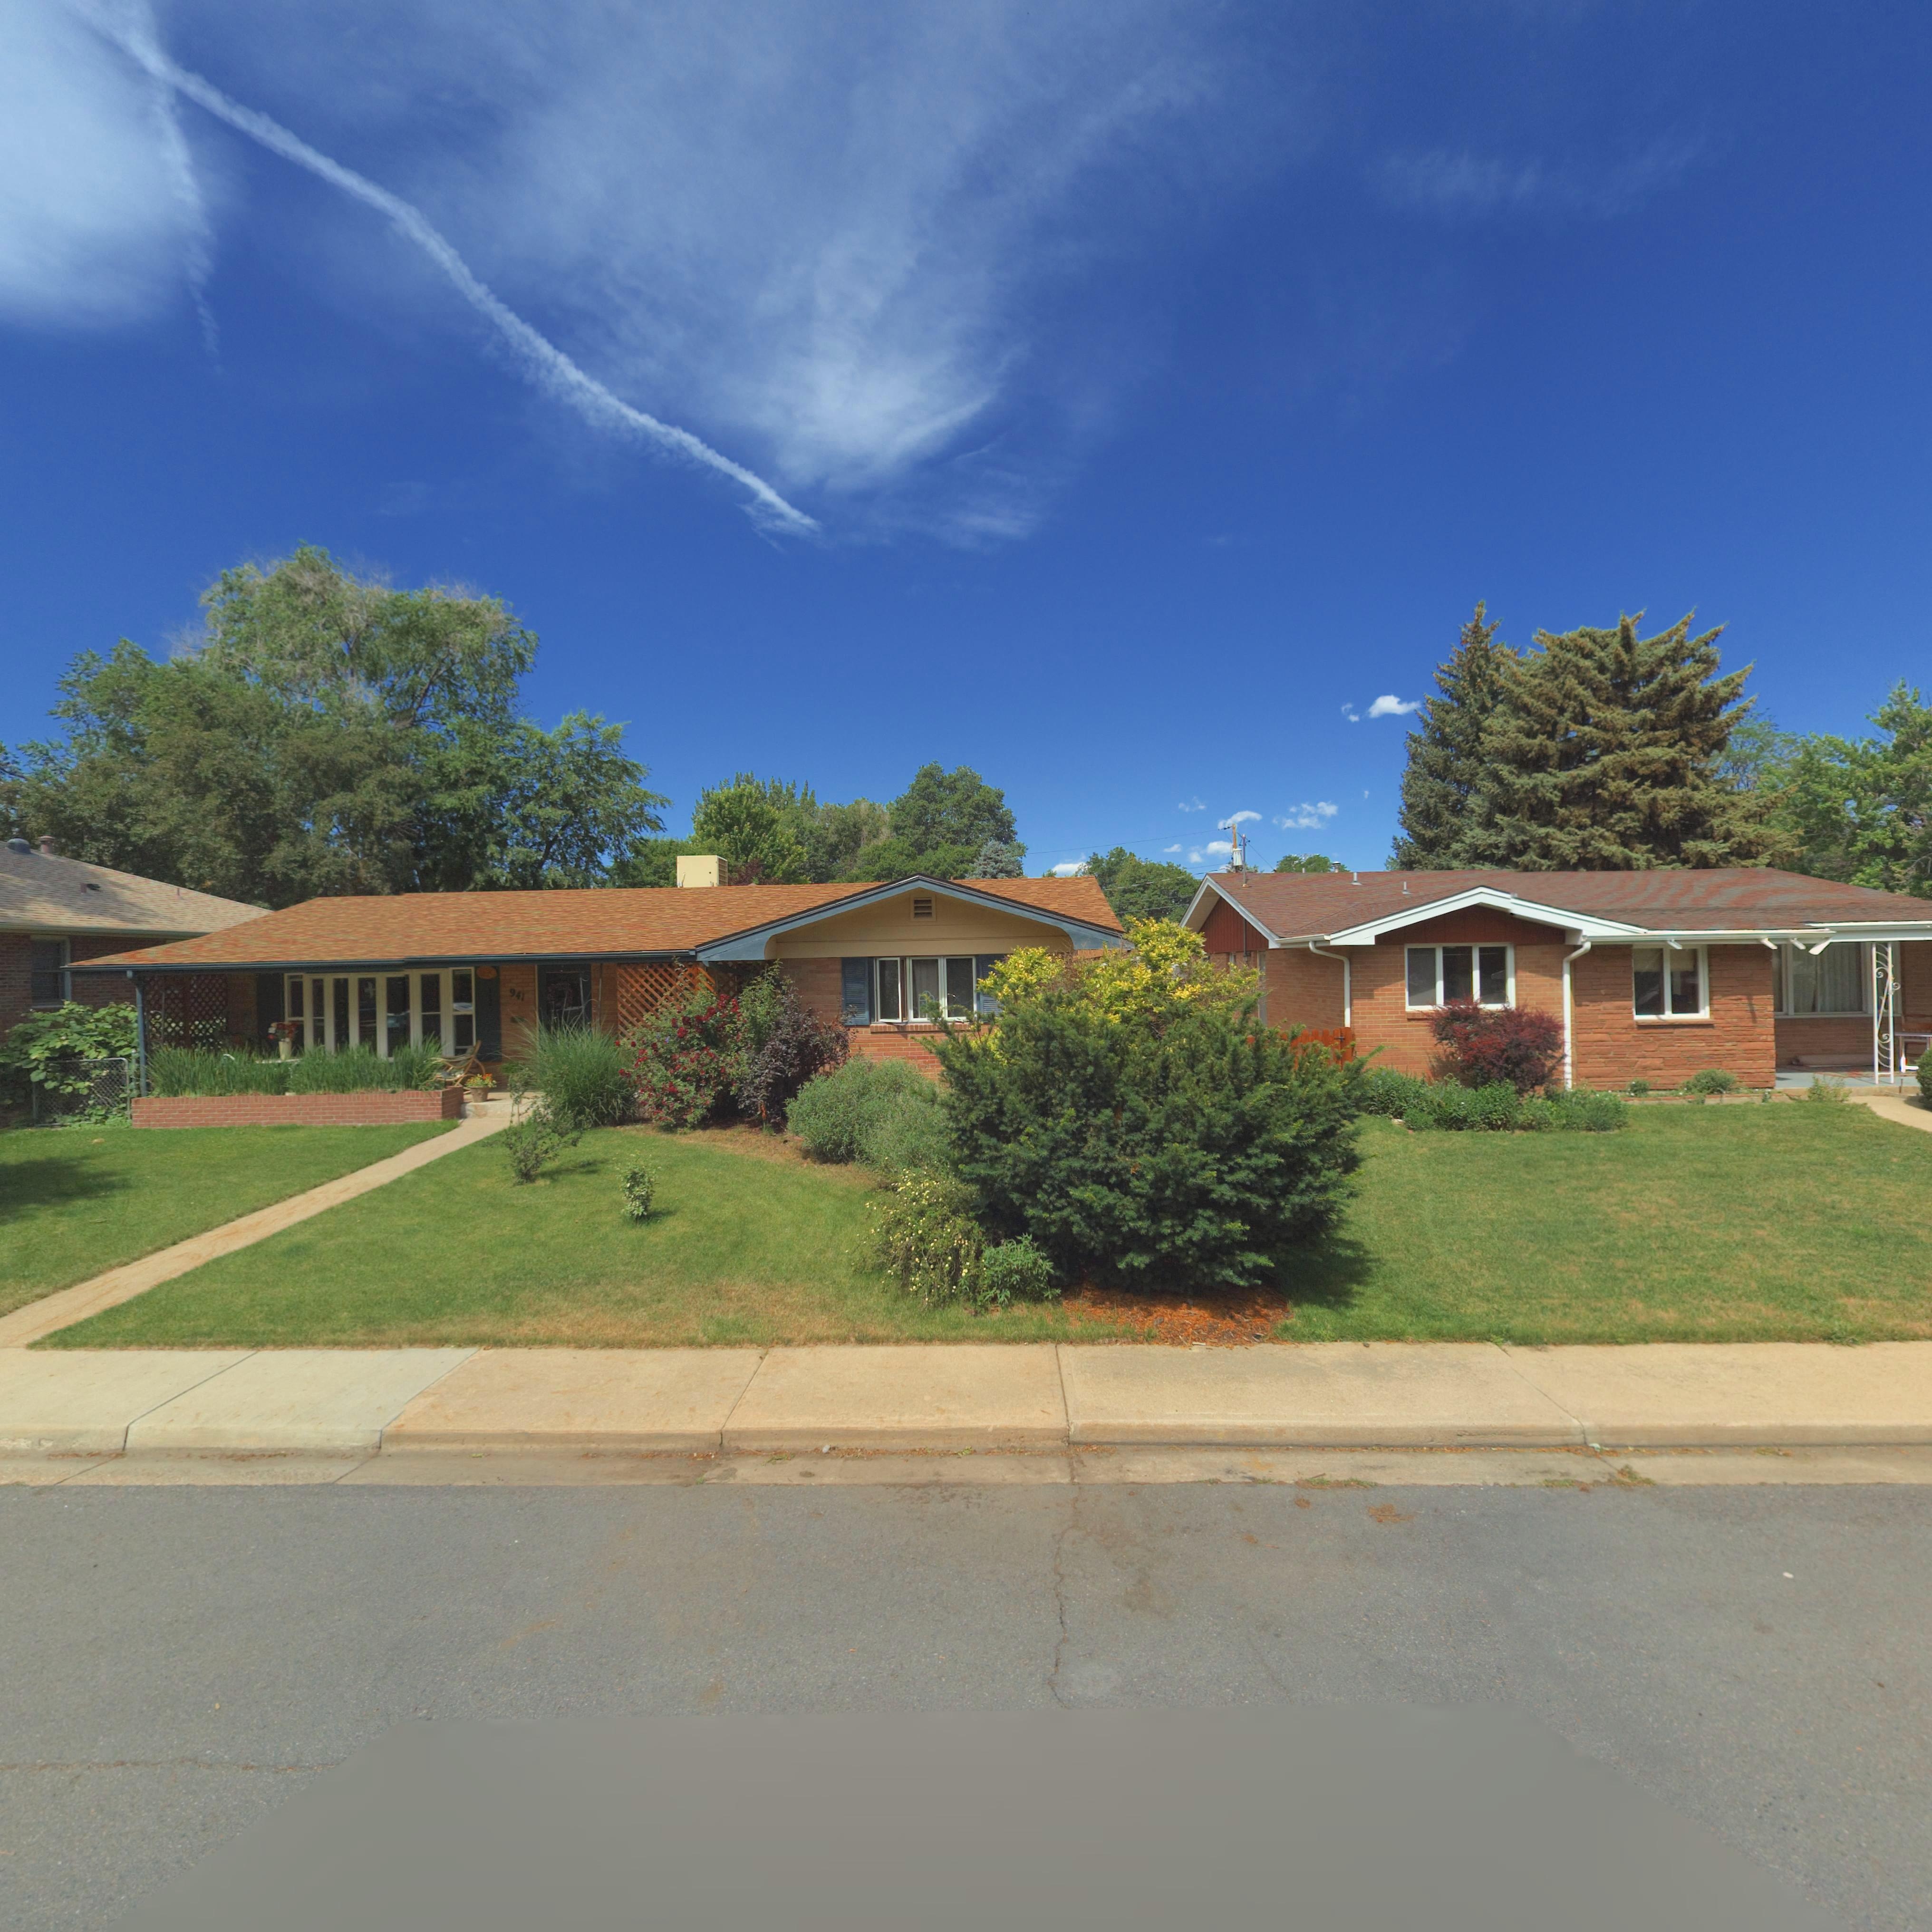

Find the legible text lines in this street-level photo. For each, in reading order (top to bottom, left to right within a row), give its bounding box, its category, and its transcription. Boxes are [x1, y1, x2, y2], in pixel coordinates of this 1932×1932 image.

[509, 988, 525, 1001] StreetNumber: 941